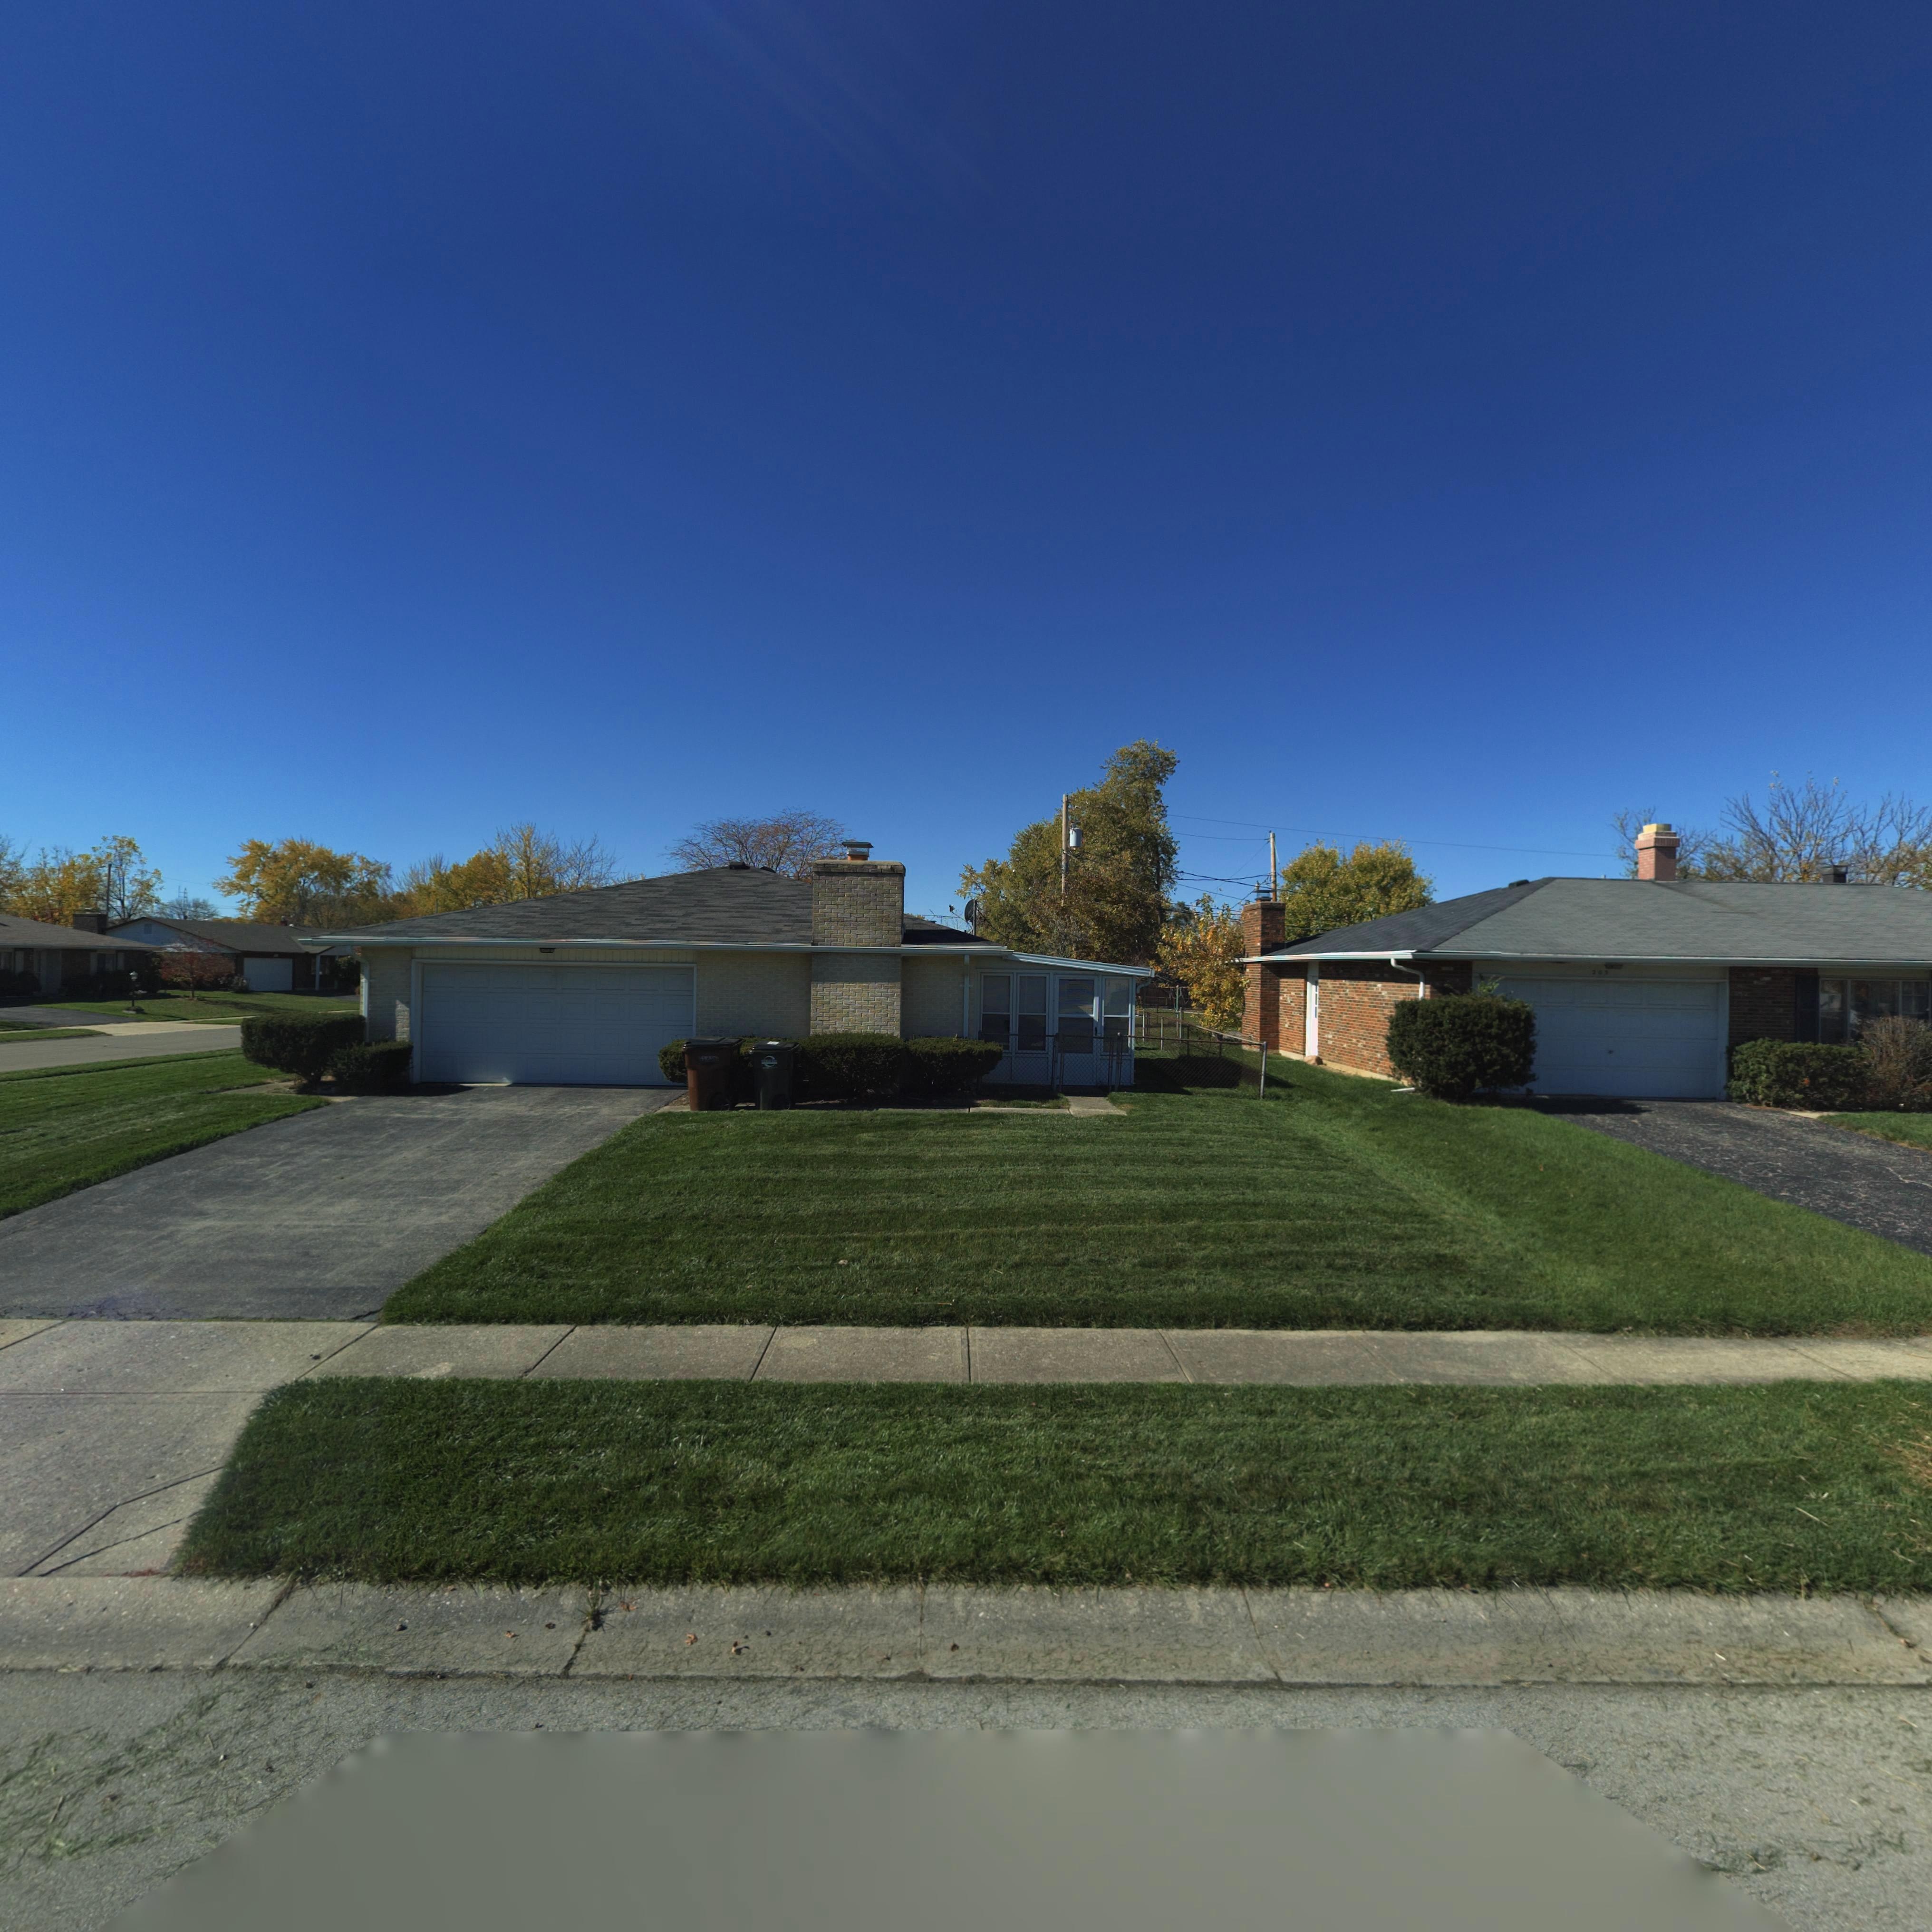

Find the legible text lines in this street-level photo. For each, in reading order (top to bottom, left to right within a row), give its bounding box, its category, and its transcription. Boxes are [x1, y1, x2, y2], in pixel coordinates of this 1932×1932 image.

[1591, 969, 1609, 975] StreetNumber: 202